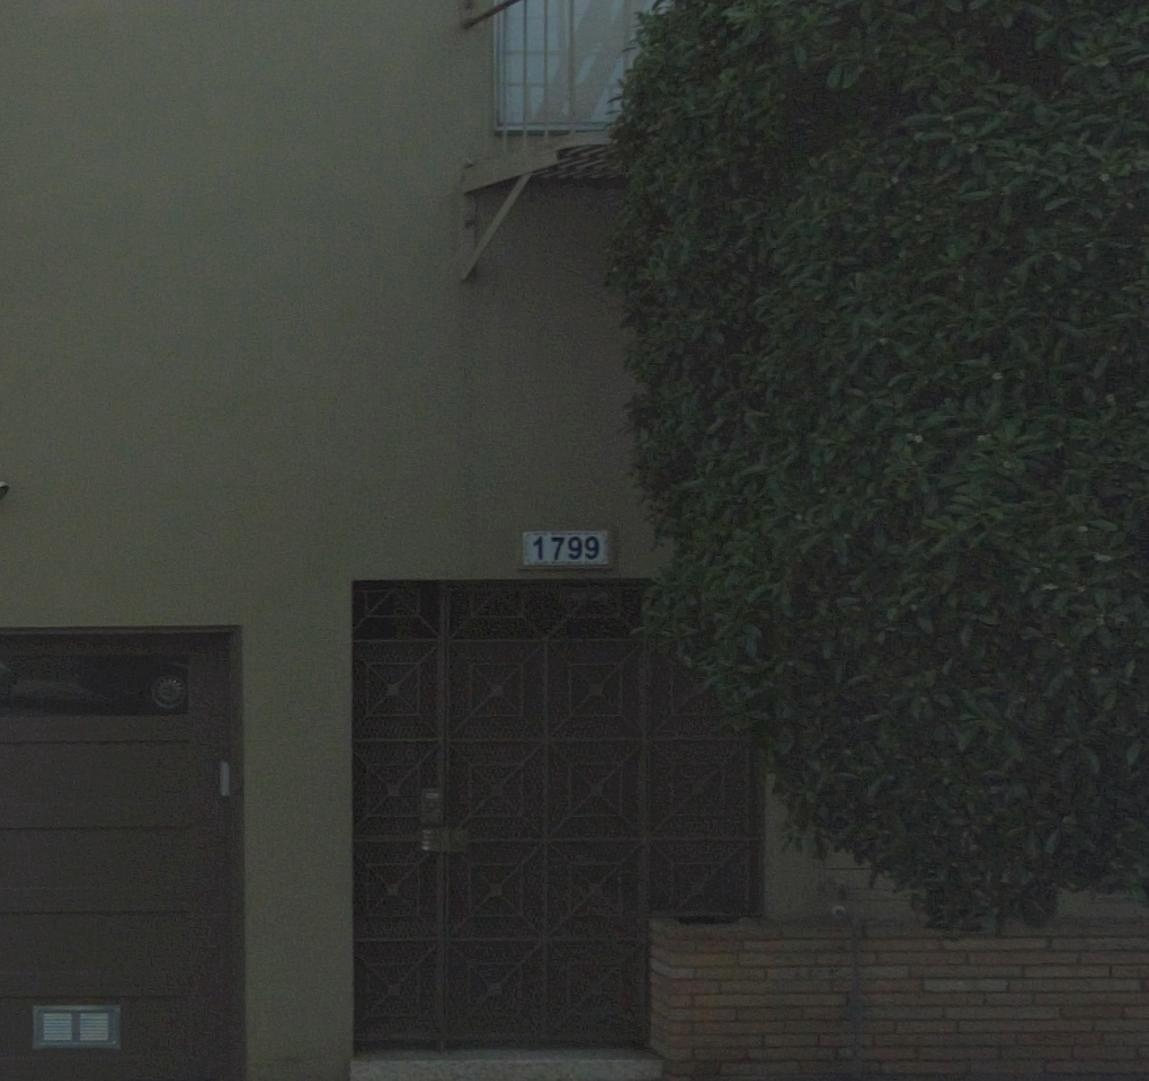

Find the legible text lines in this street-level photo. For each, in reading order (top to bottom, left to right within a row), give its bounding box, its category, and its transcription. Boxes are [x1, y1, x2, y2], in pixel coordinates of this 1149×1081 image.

[530, 533, 602, 563] StreetNumber: 1799